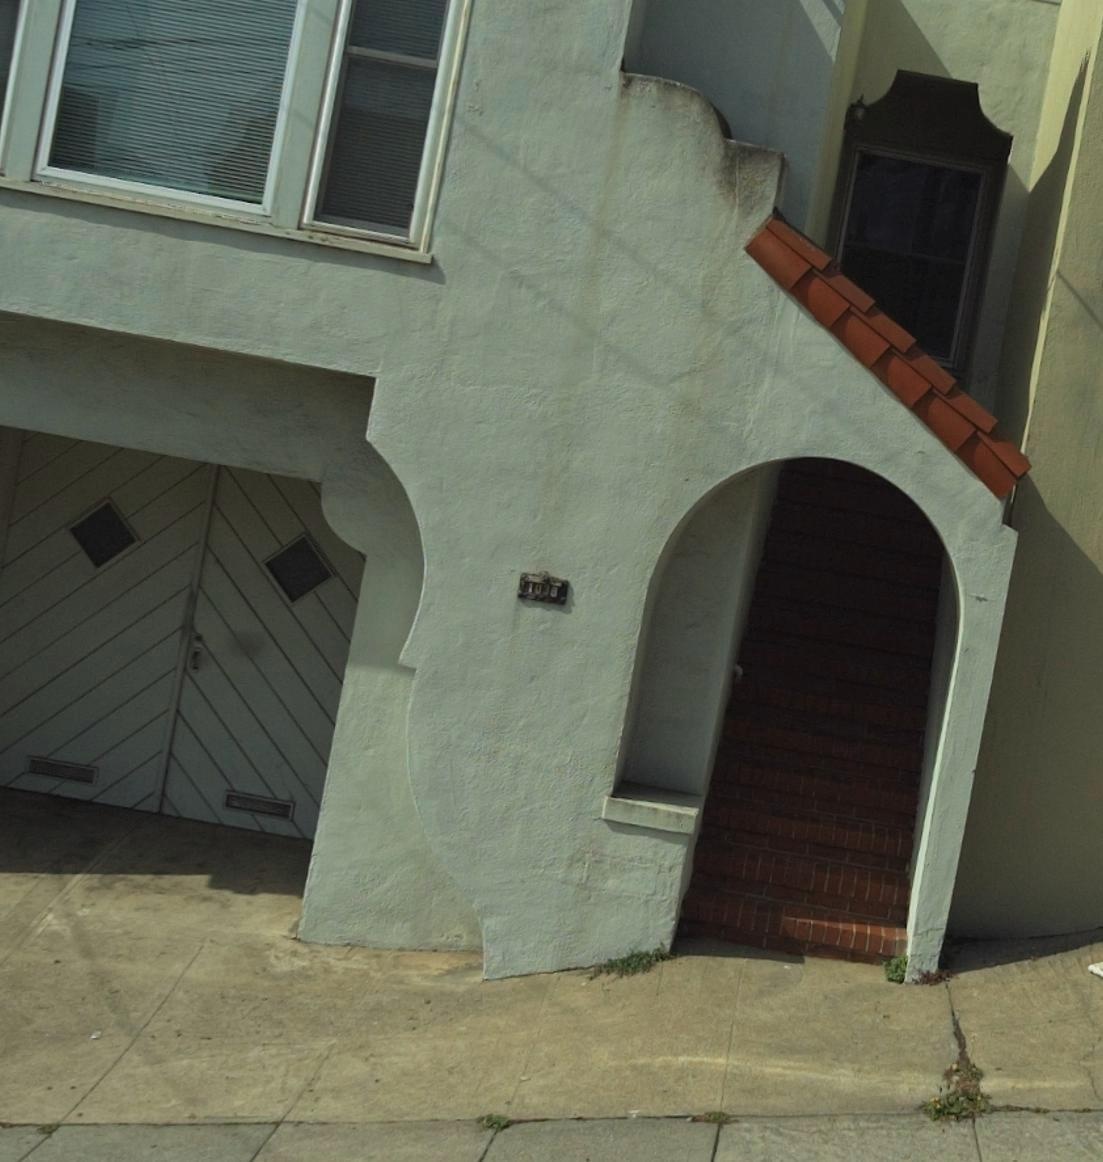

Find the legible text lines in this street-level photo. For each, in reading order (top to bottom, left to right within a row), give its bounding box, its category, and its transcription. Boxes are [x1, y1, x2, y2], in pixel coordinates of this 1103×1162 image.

[526, 580, 560, 600] StreetNumber: 1038